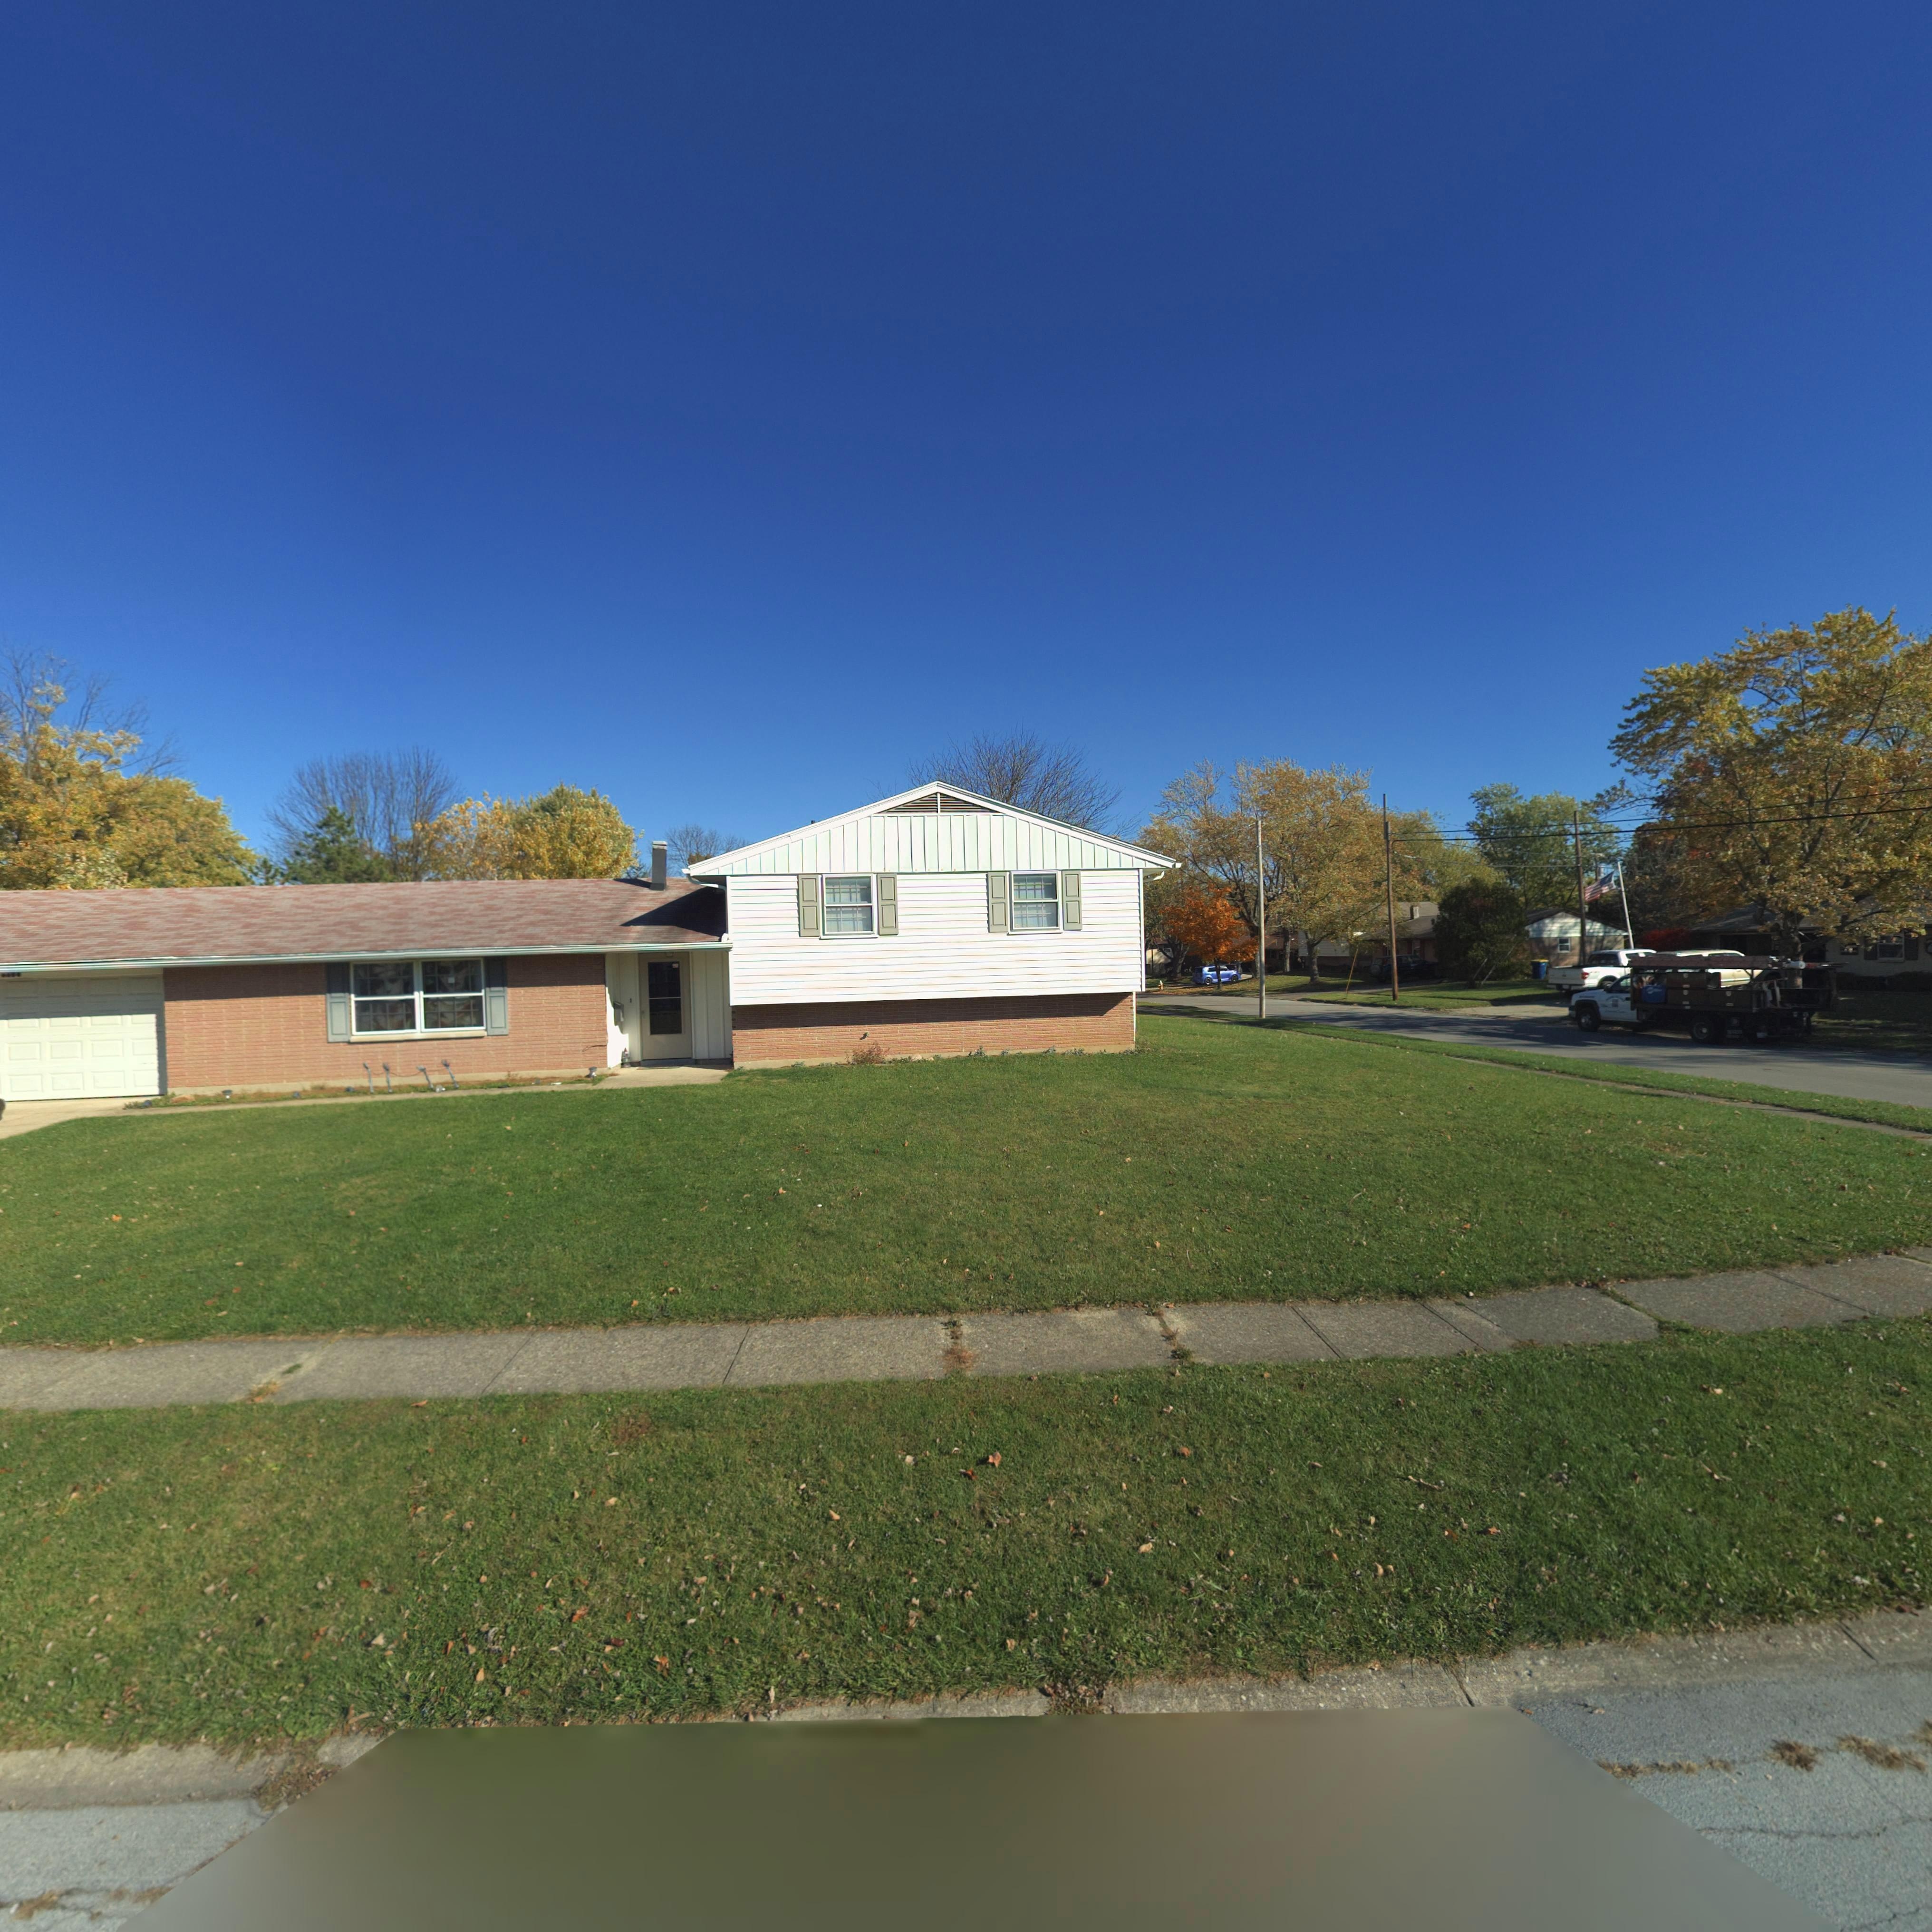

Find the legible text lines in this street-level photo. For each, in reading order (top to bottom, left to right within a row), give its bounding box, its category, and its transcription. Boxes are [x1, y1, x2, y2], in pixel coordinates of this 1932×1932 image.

[0, 972, 6, 978] StreetNumber: 6